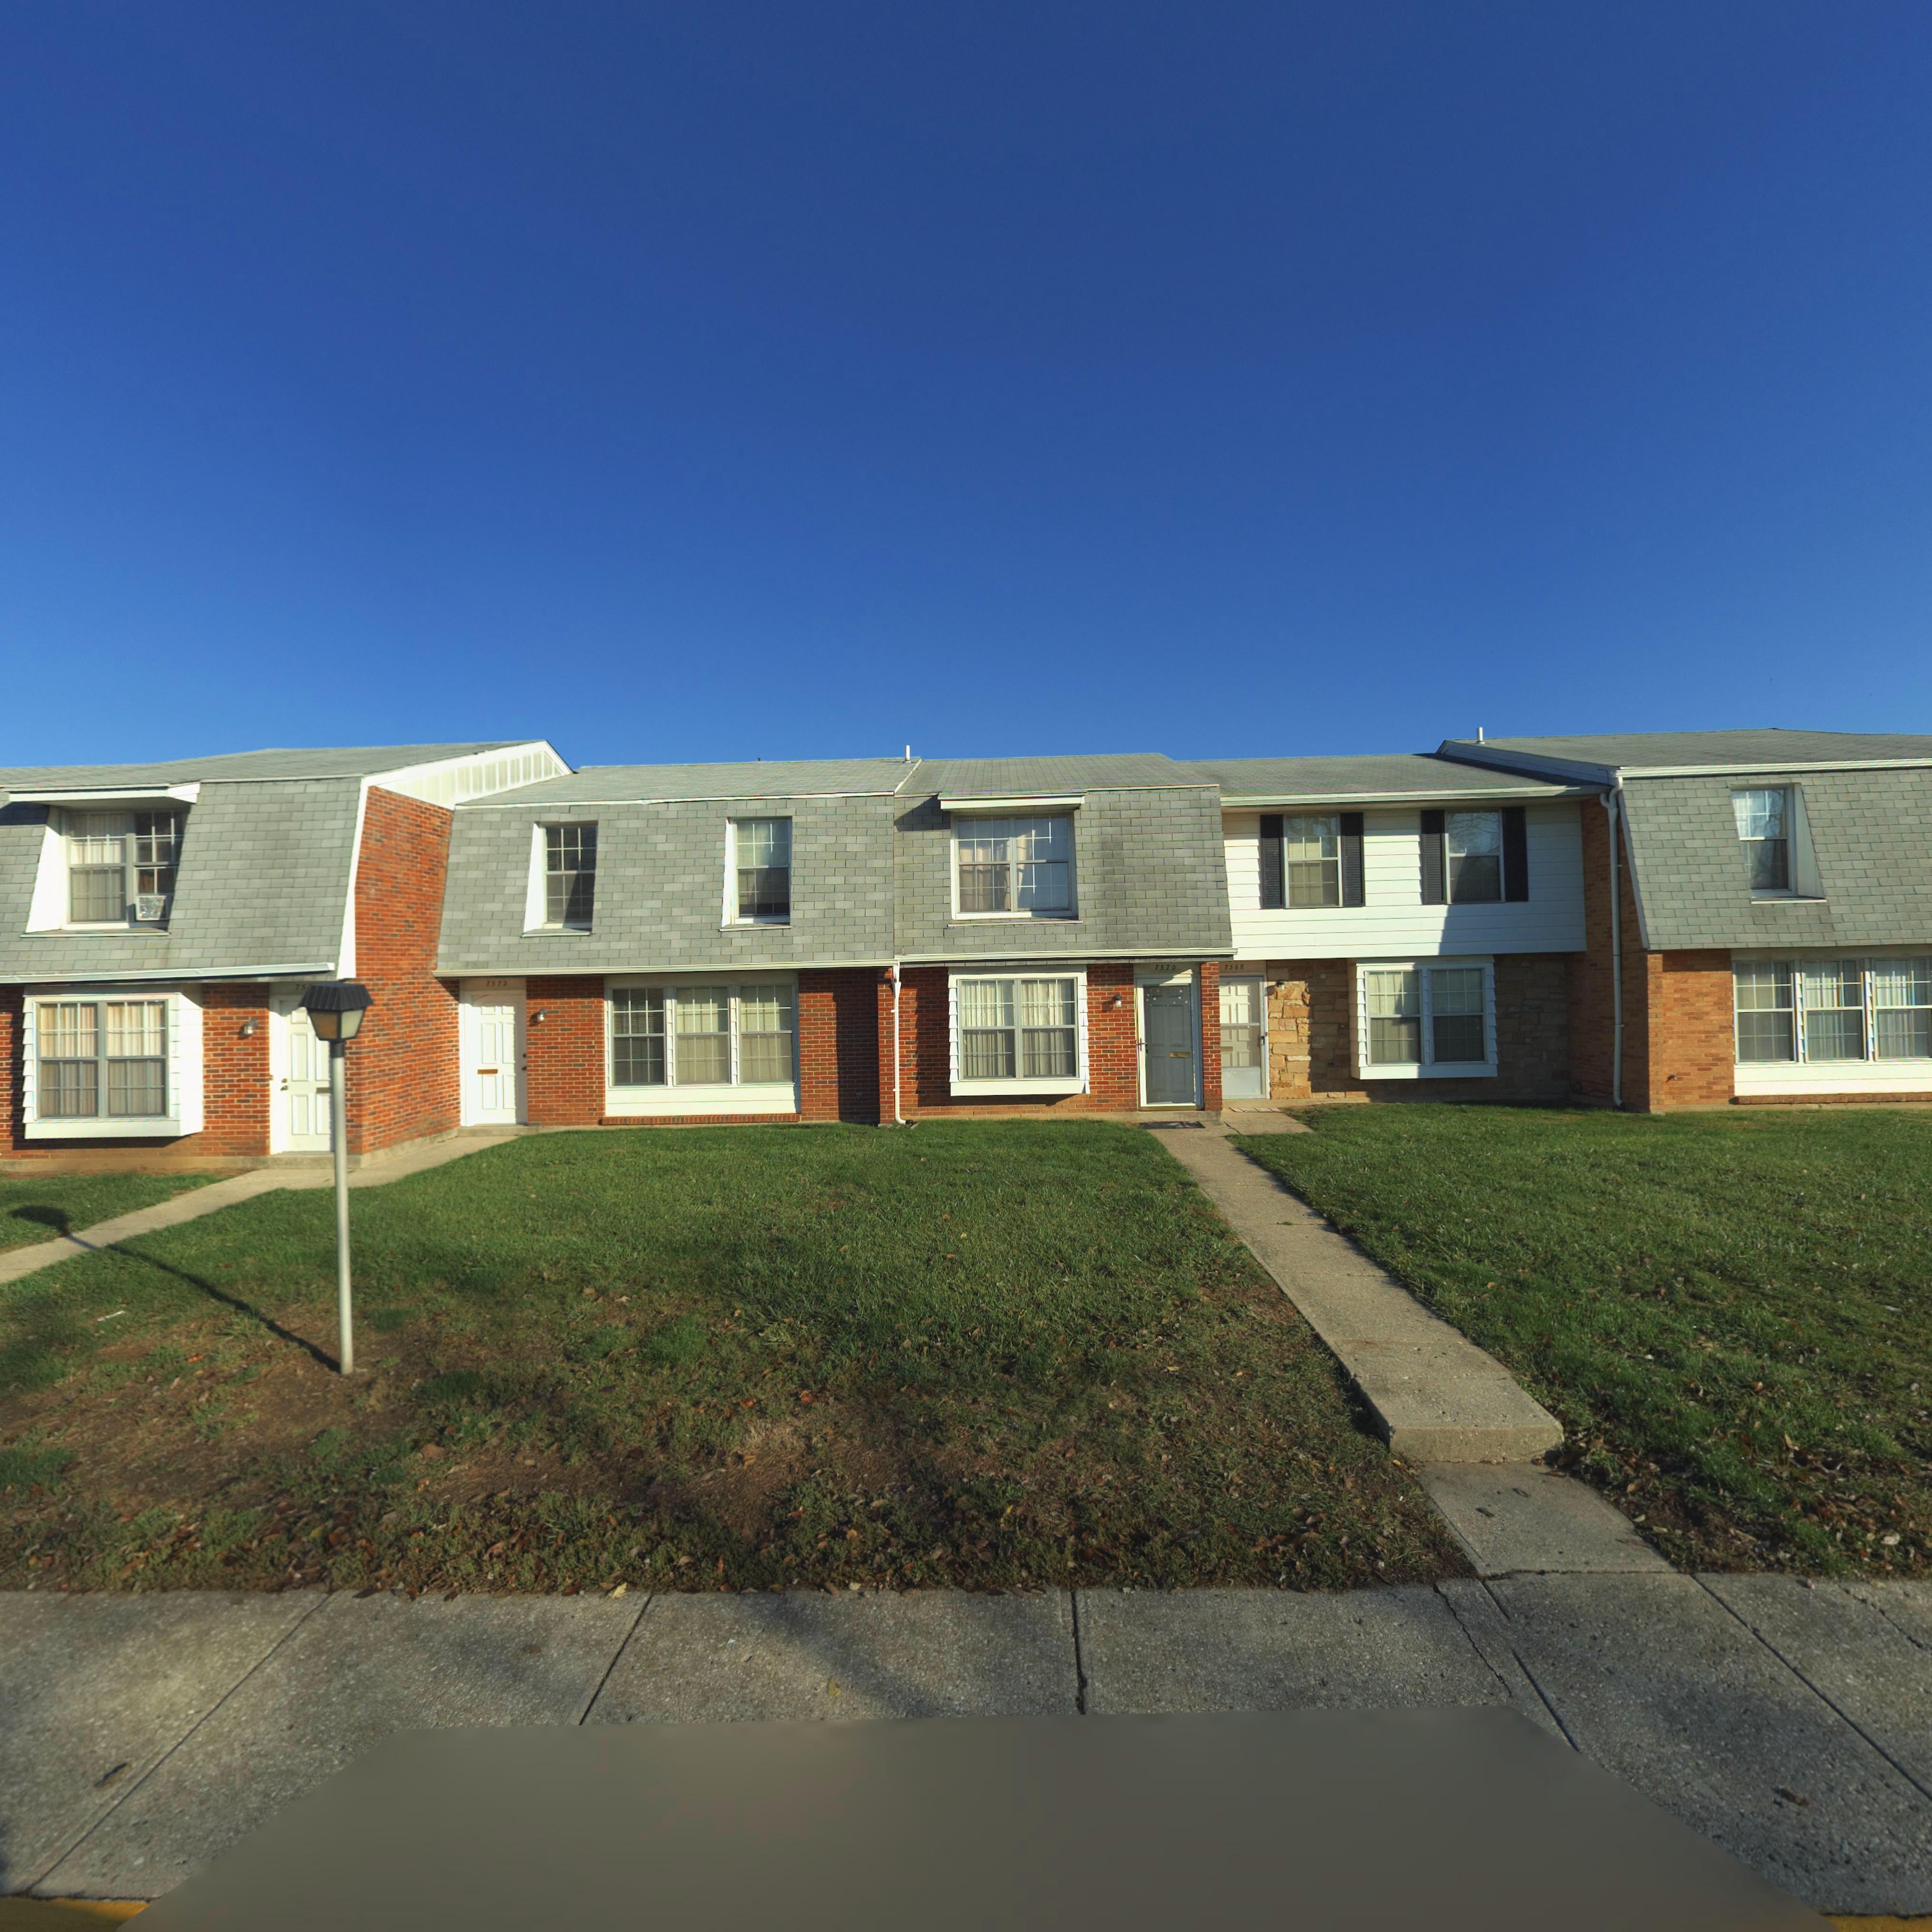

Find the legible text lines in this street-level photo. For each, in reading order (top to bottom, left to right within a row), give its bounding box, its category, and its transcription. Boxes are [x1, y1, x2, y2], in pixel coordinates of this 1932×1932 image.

[1153, 963, 1177, 972] StreetNumber: 7570
[1224, 963, 1245, 971] StreetNumber: 7568
[293, 982, 308, 992] StreetNumber: 75
[485, 979, 508, 988] StreetNumber: 7572